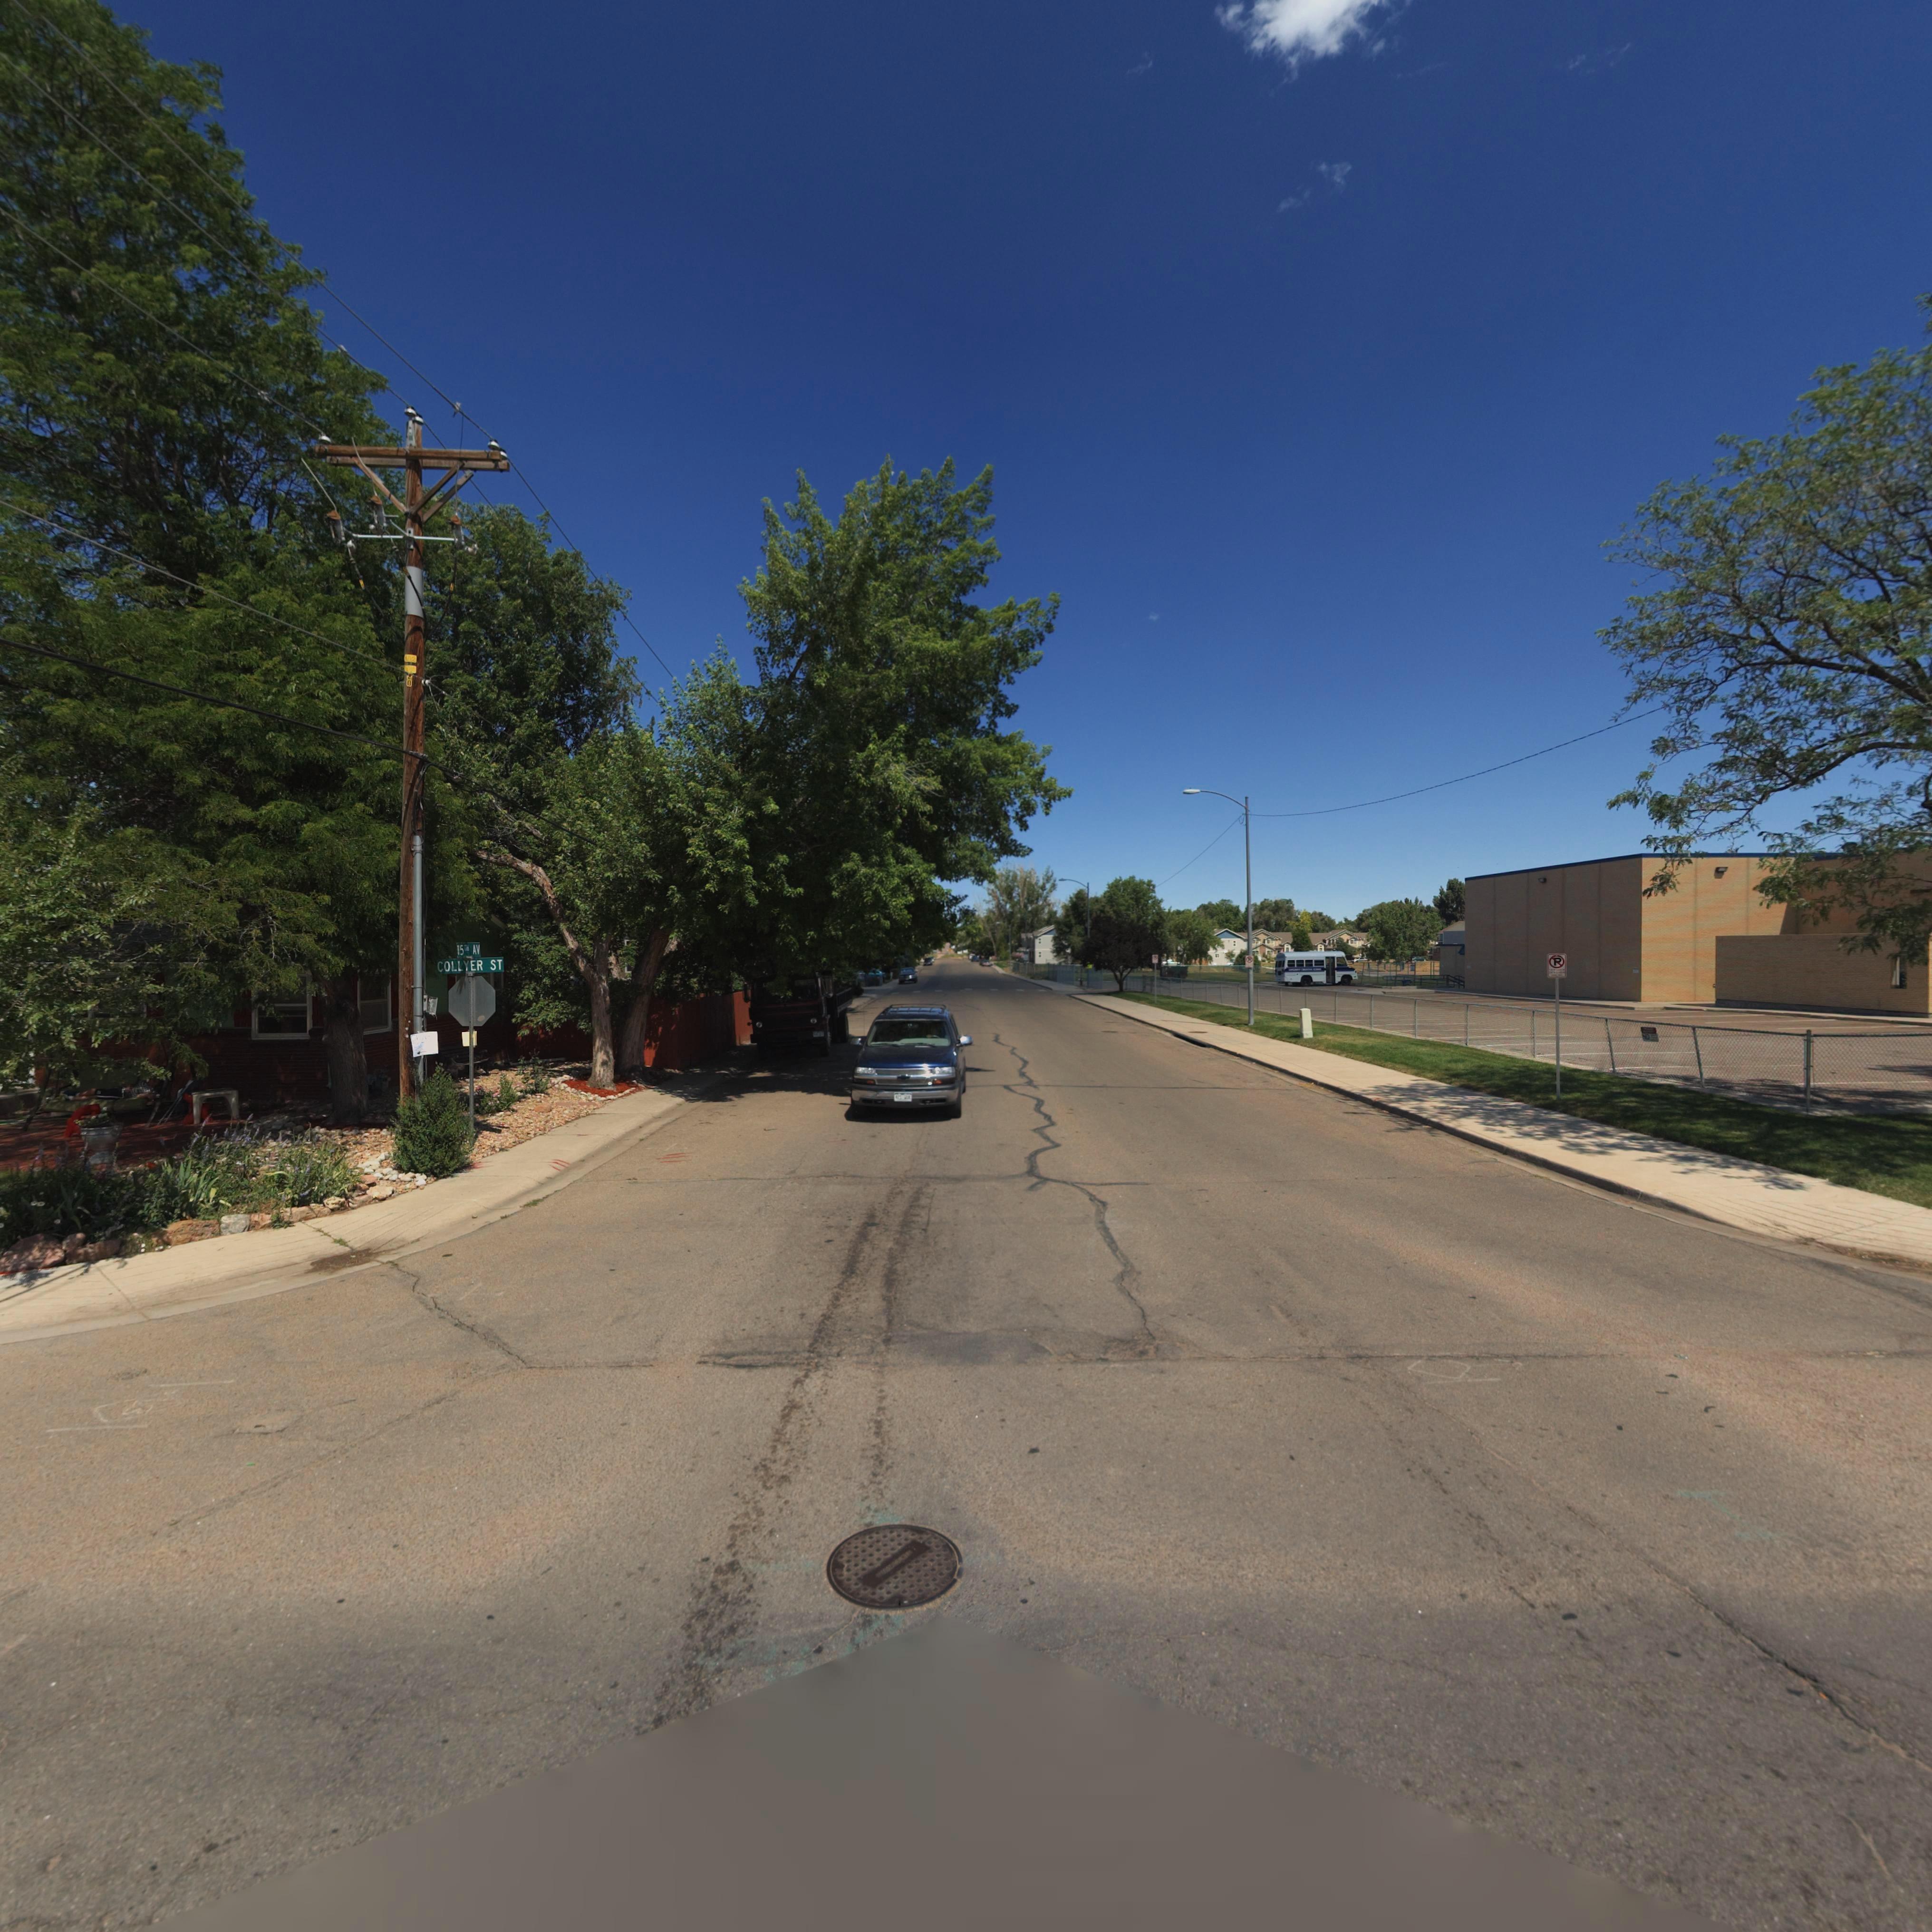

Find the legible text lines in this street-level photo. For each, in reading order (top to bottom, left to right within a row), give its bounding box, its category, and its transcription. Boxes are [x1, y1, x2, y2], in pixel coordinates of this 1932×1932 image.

[456, 944, 480, 956] StreetName: 15T* AV
[436, 958, 502, 972] StreetName: COLLYER ST